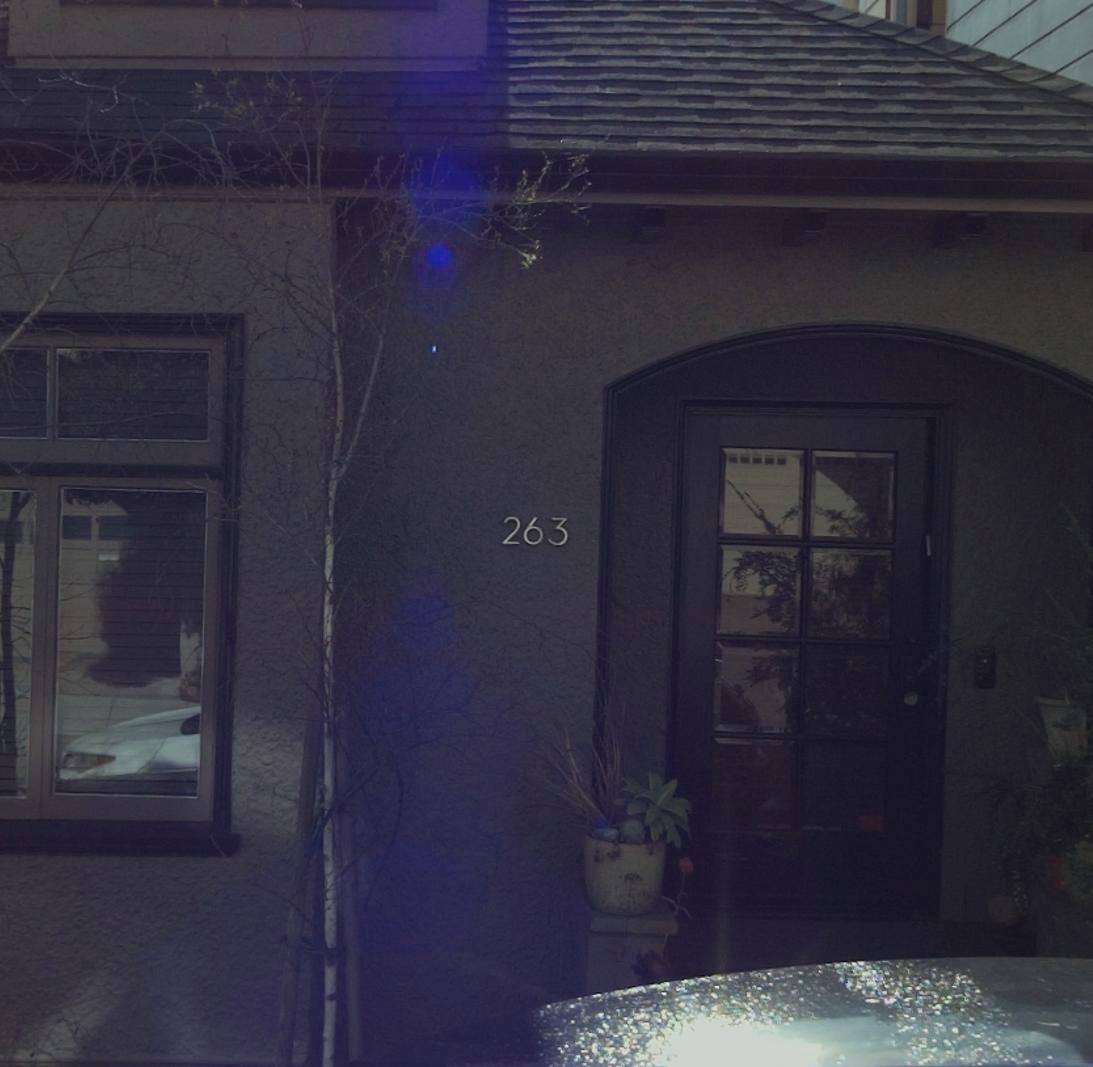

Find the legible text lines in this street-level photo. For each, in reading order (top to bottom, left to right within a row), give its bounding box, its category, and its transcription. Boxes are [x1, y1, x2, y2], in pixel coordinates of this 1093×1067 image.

[500, 513, 569, 548] StreetNumber: 263